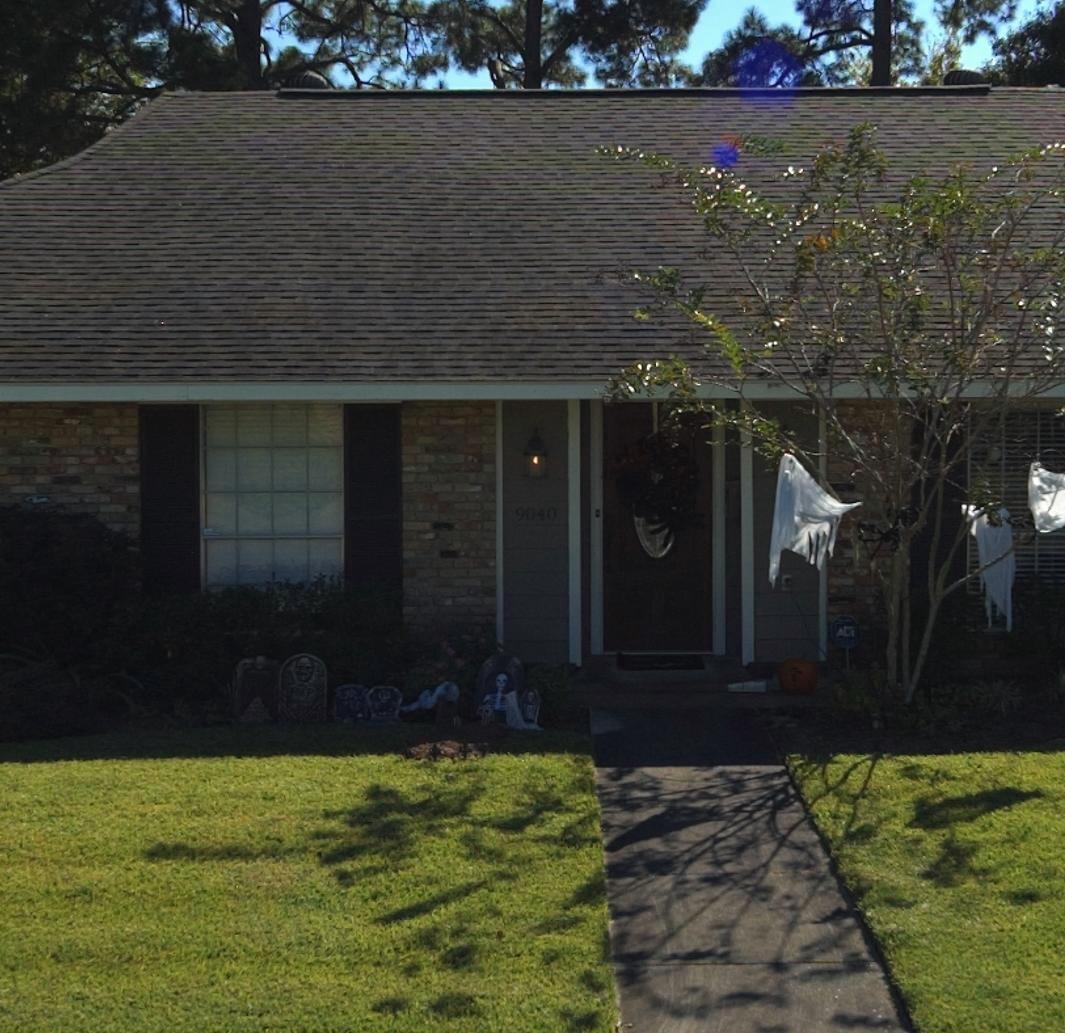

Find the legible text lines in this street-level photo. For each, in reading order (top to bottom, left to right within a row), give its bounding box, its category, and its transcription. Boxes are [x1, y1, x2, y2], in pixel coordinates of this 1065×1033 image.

[514, 505, 559, 523] StreetNumber: 9040